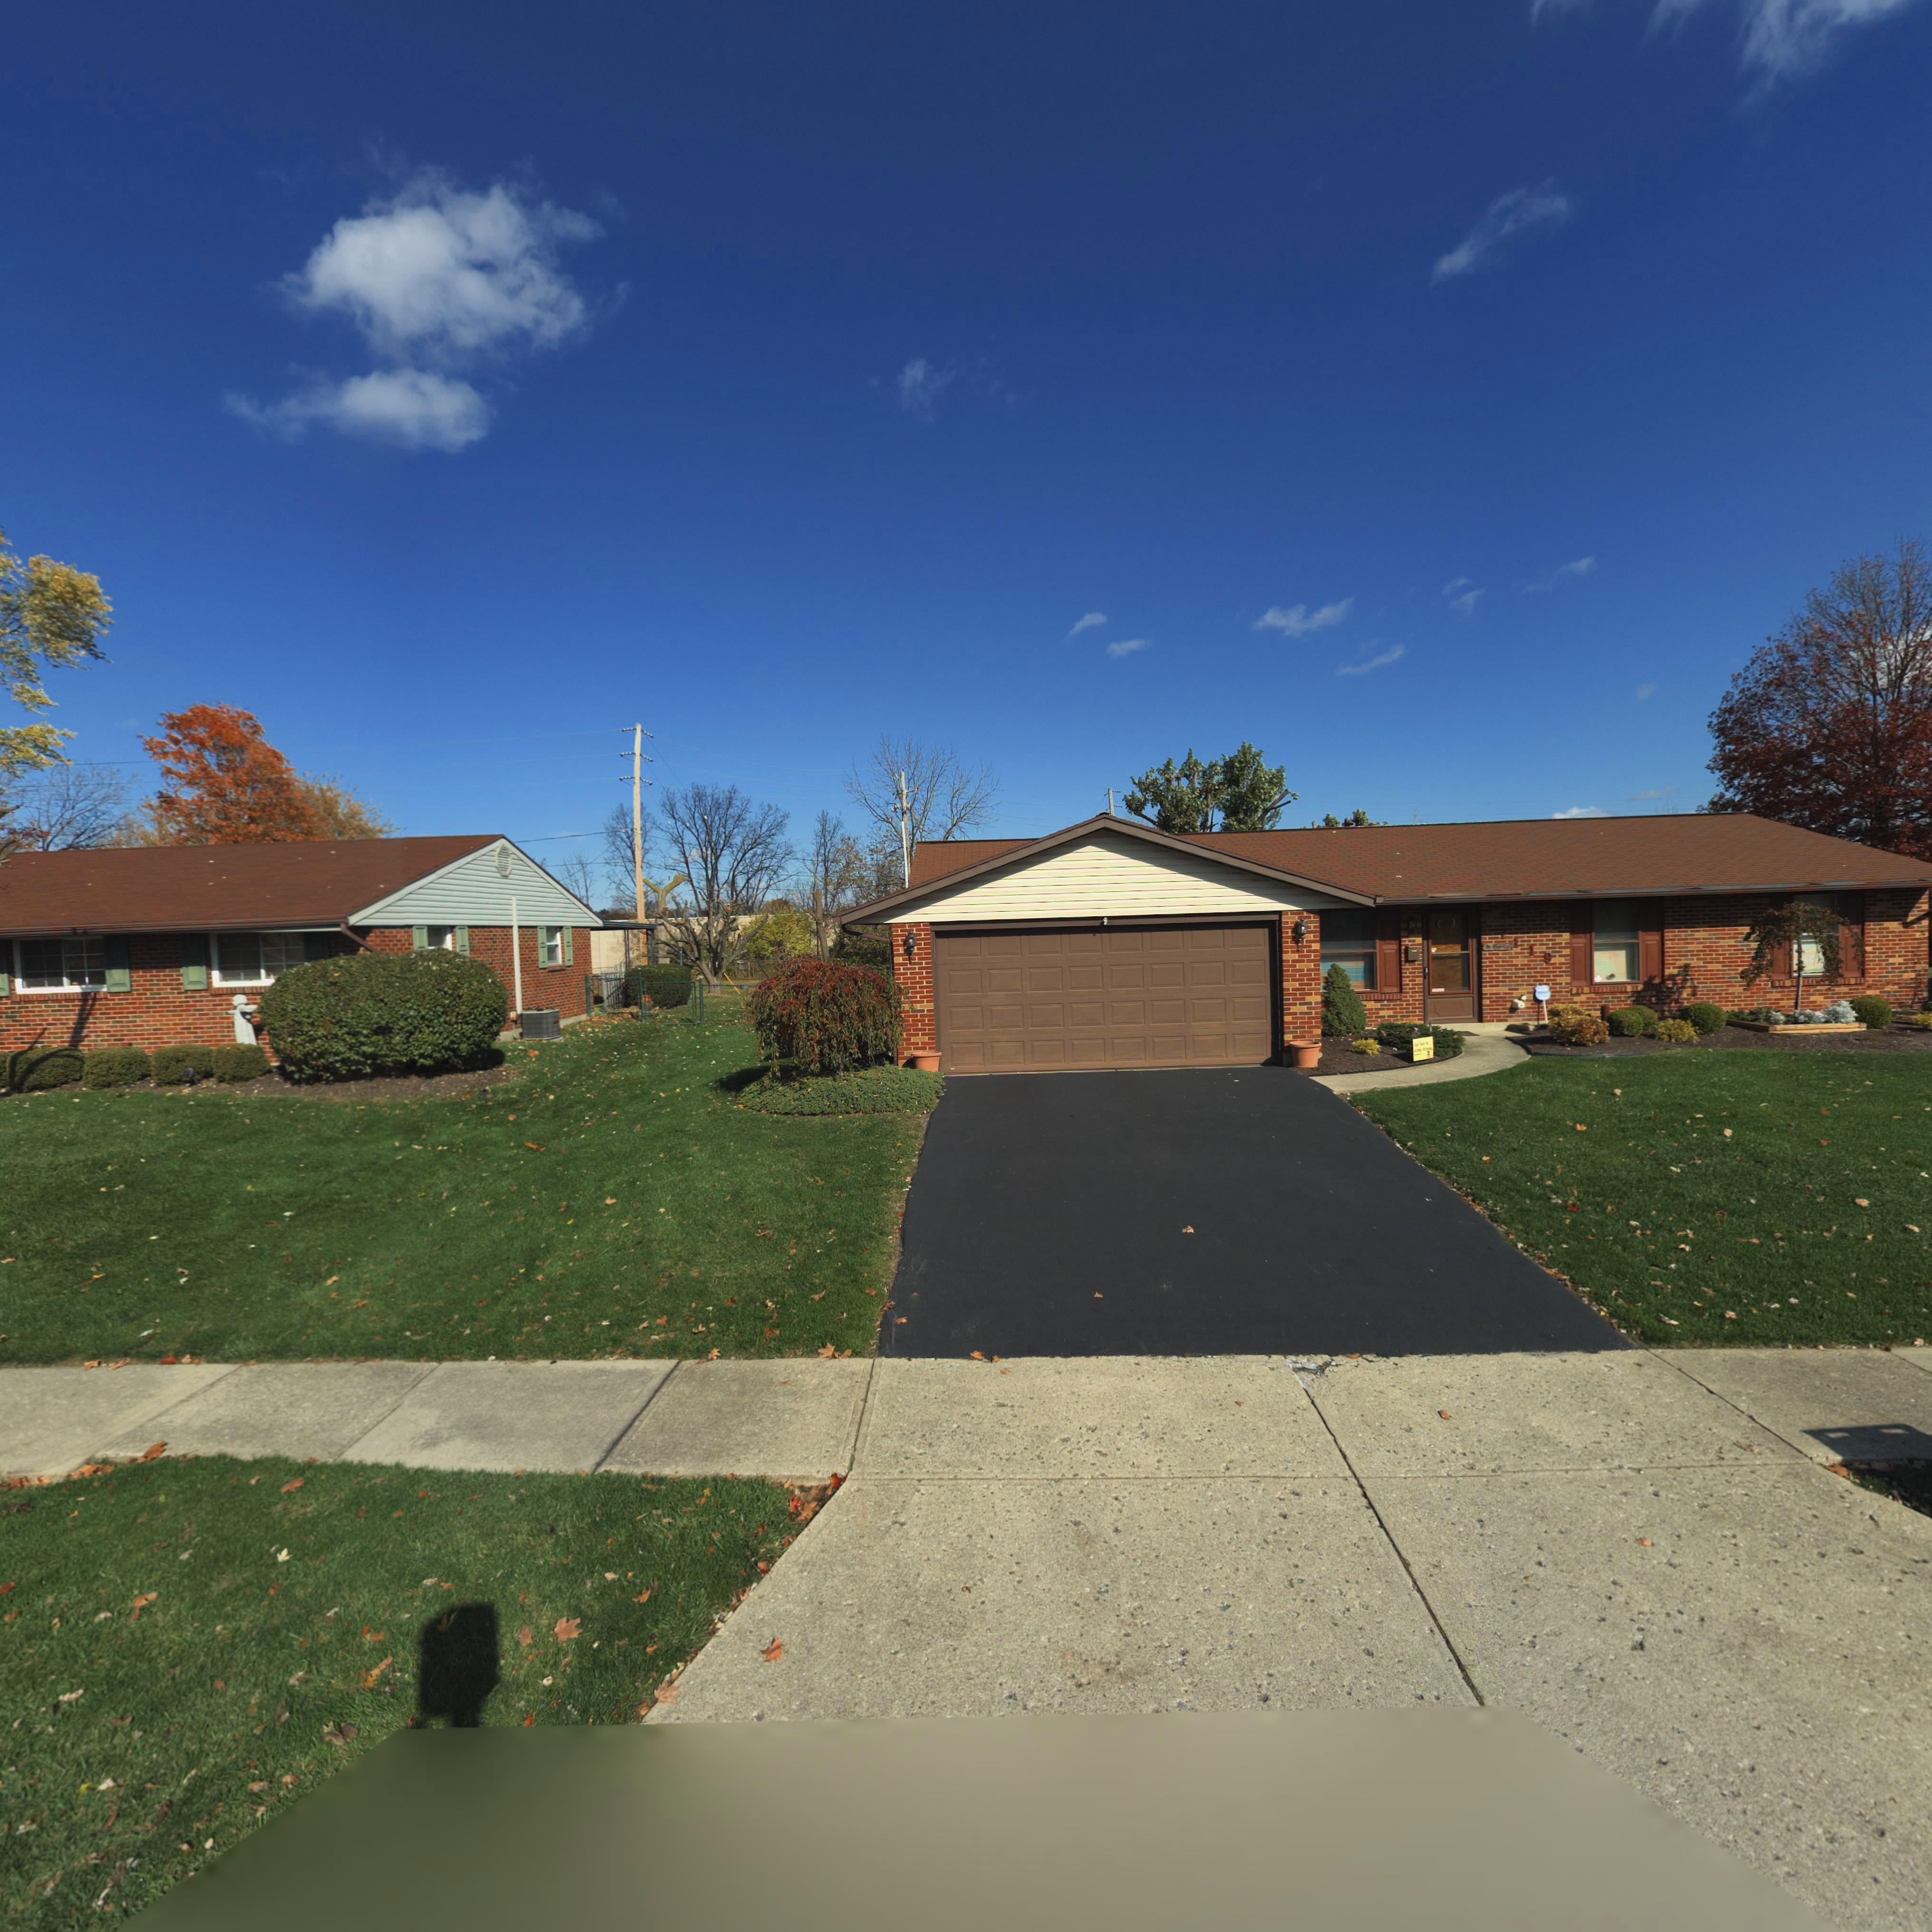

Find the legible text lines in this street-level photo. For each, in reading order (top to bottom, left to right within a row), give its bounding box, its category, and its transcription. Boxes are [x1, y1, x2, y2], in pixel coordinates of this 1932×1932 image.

[1498, 927, 1554, 966] StreetNumber: *119